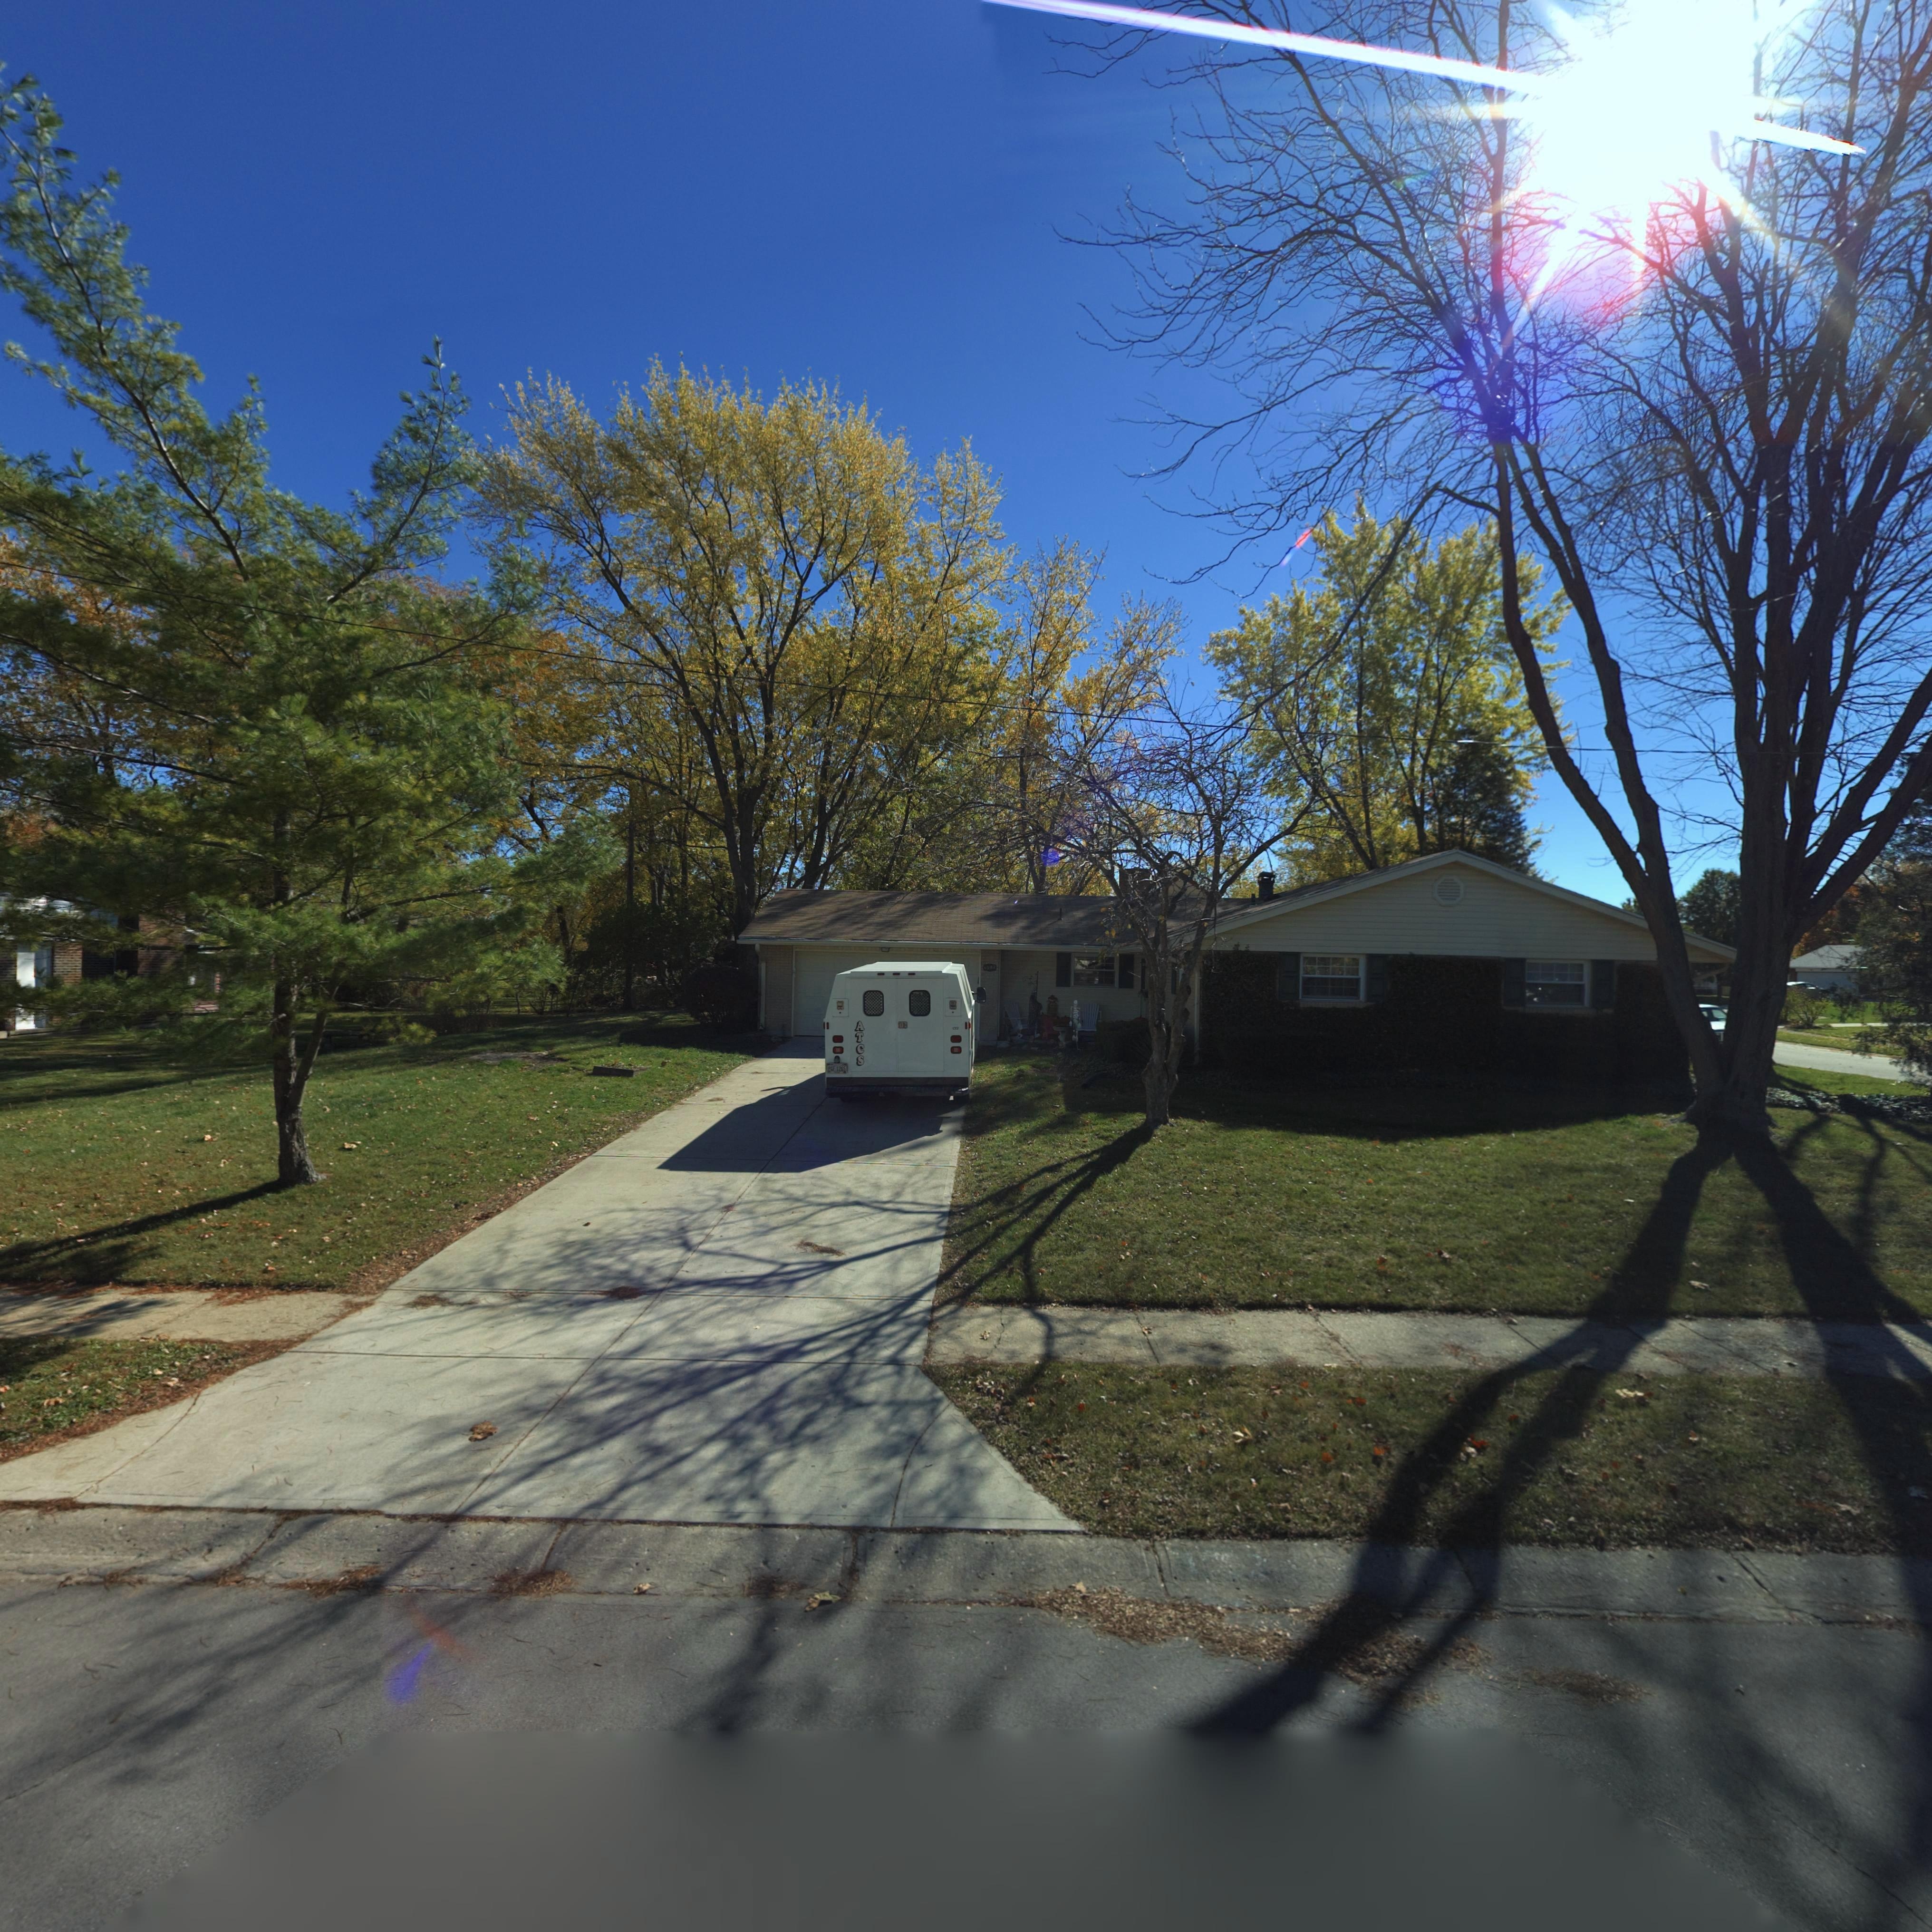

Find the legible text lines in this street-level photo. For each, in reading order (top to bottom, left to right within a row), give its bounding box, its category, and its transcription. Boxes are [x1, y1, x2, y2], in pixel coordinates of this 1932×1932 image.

[984, 965, 996, 970] StreetNumber: 1002